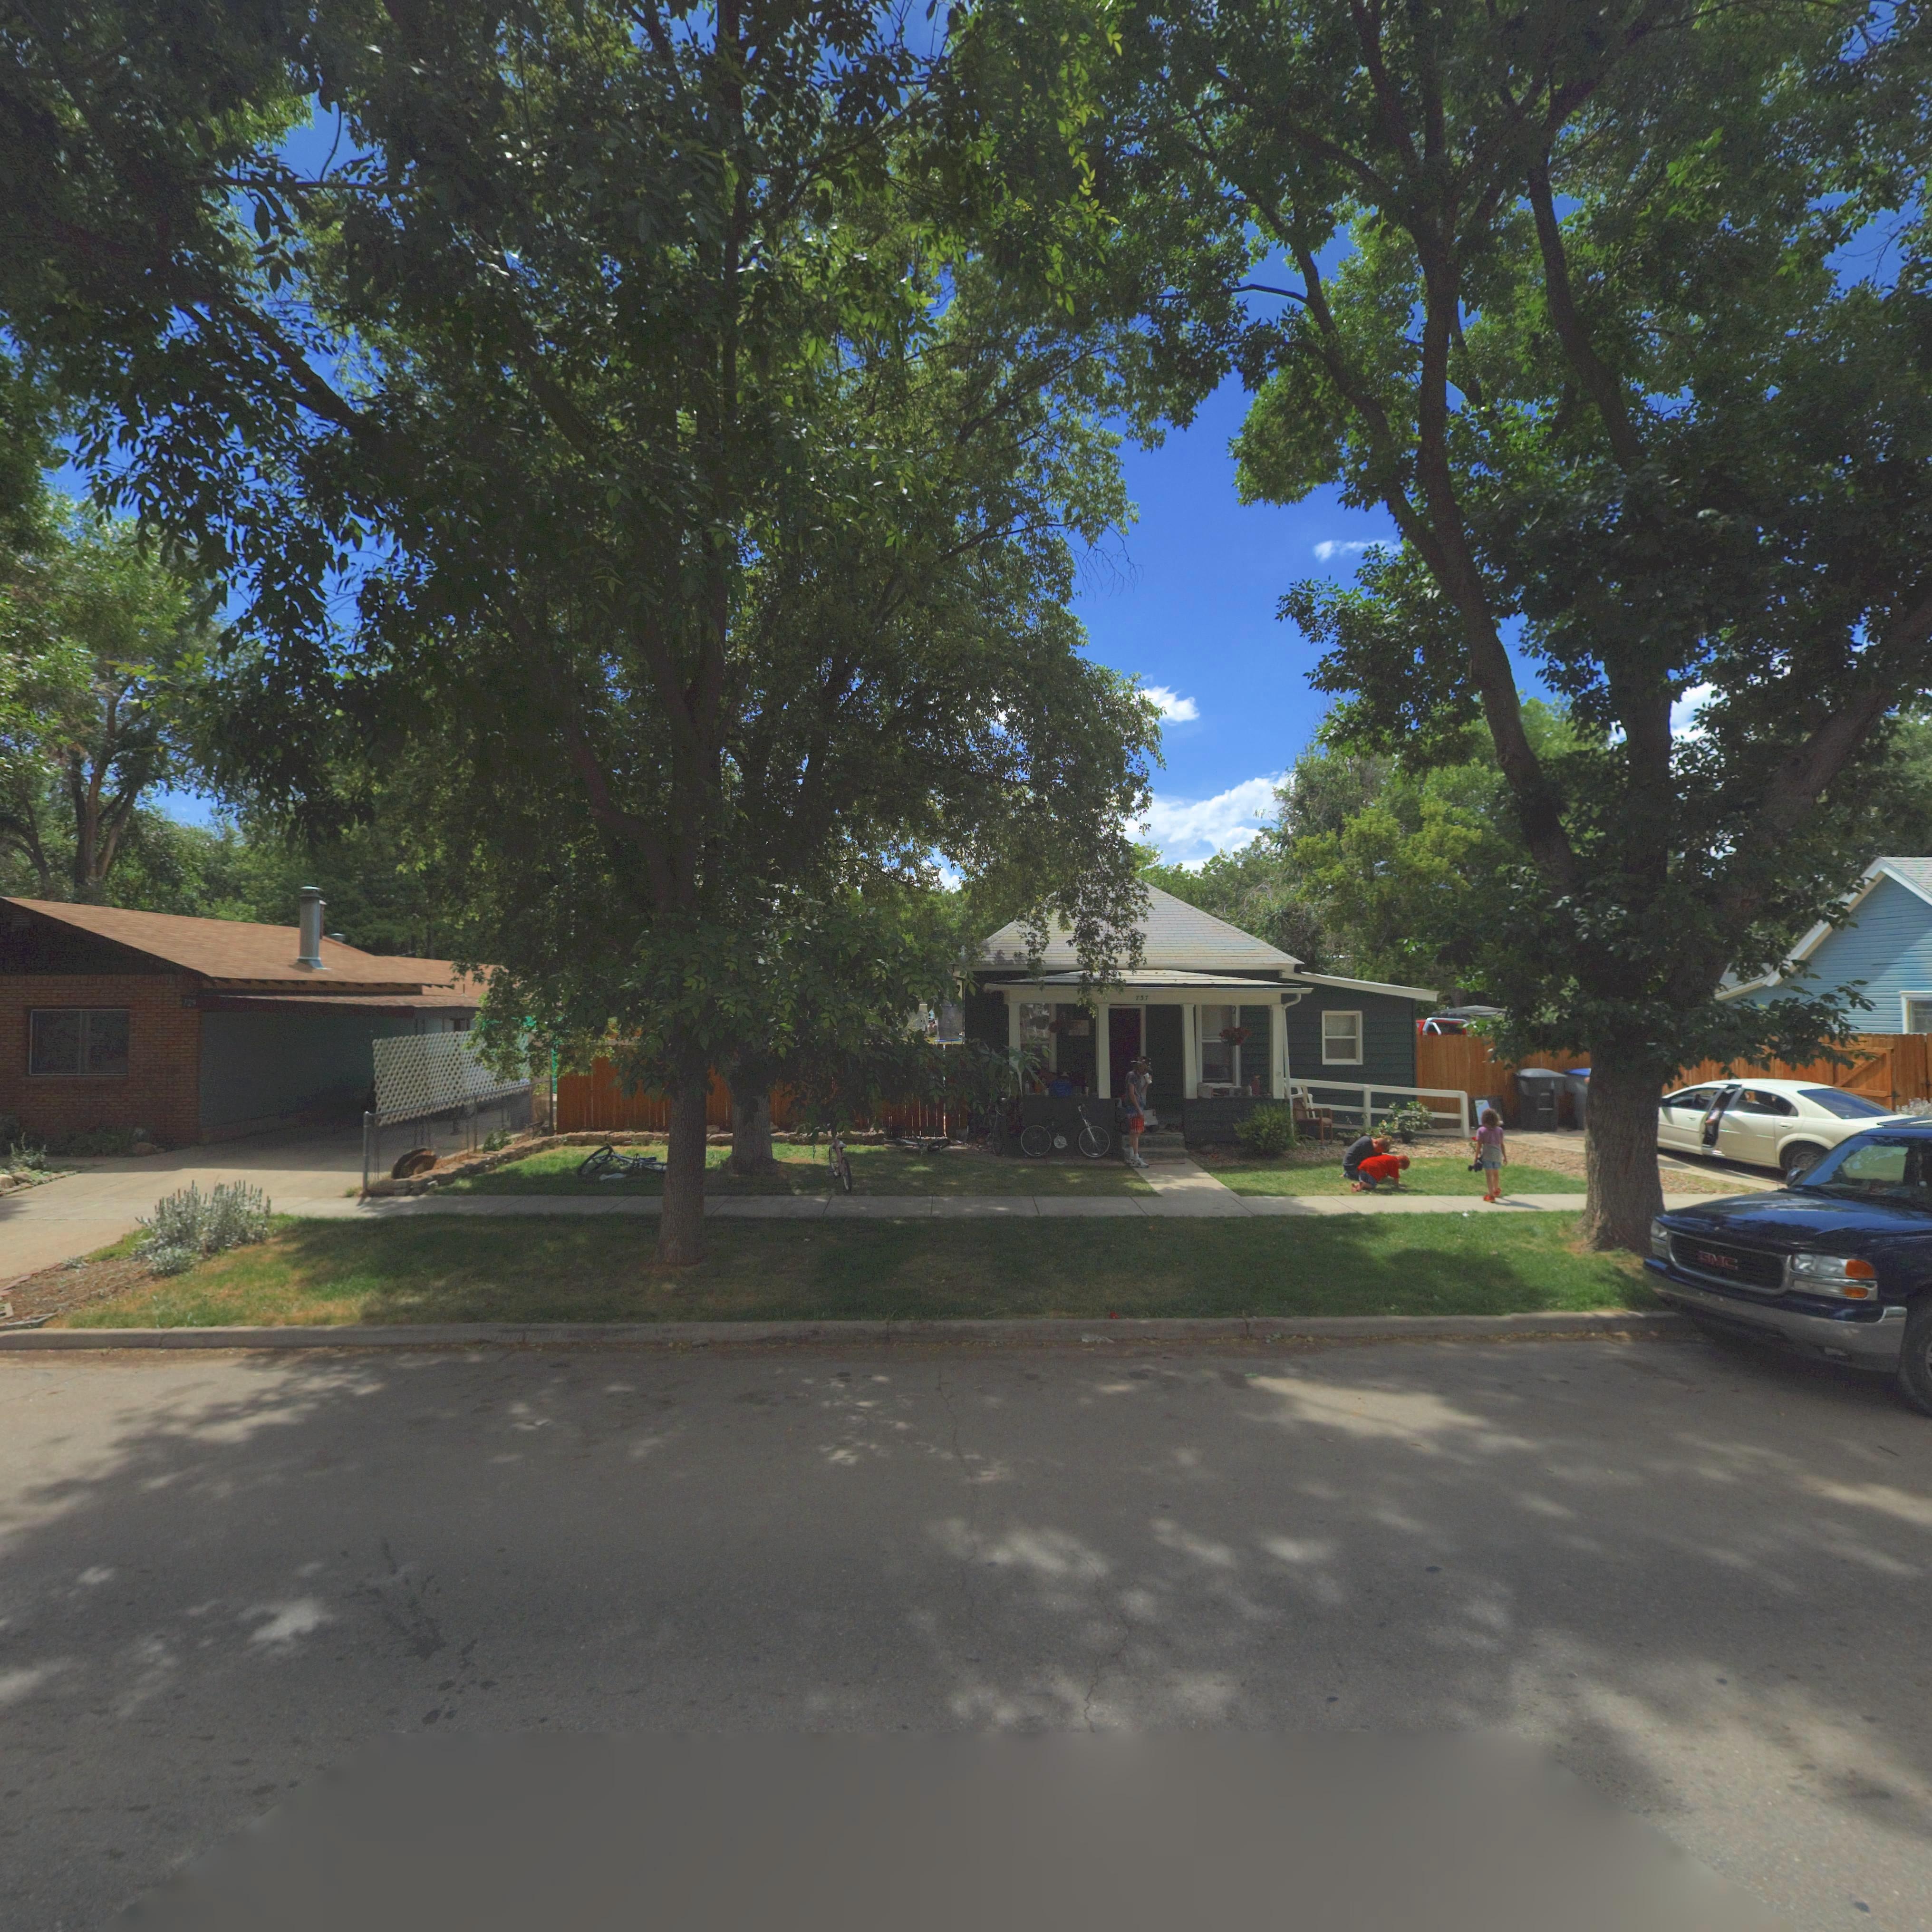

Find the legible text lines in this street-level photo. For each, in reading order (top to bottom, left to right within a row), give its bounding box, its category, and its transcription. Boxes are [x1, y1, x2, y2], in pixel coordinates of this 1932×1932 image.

[1134, 995, 1150, 1001] StreetNumber: 737
[183, 998, 197, 1008] StreetNumber: 729